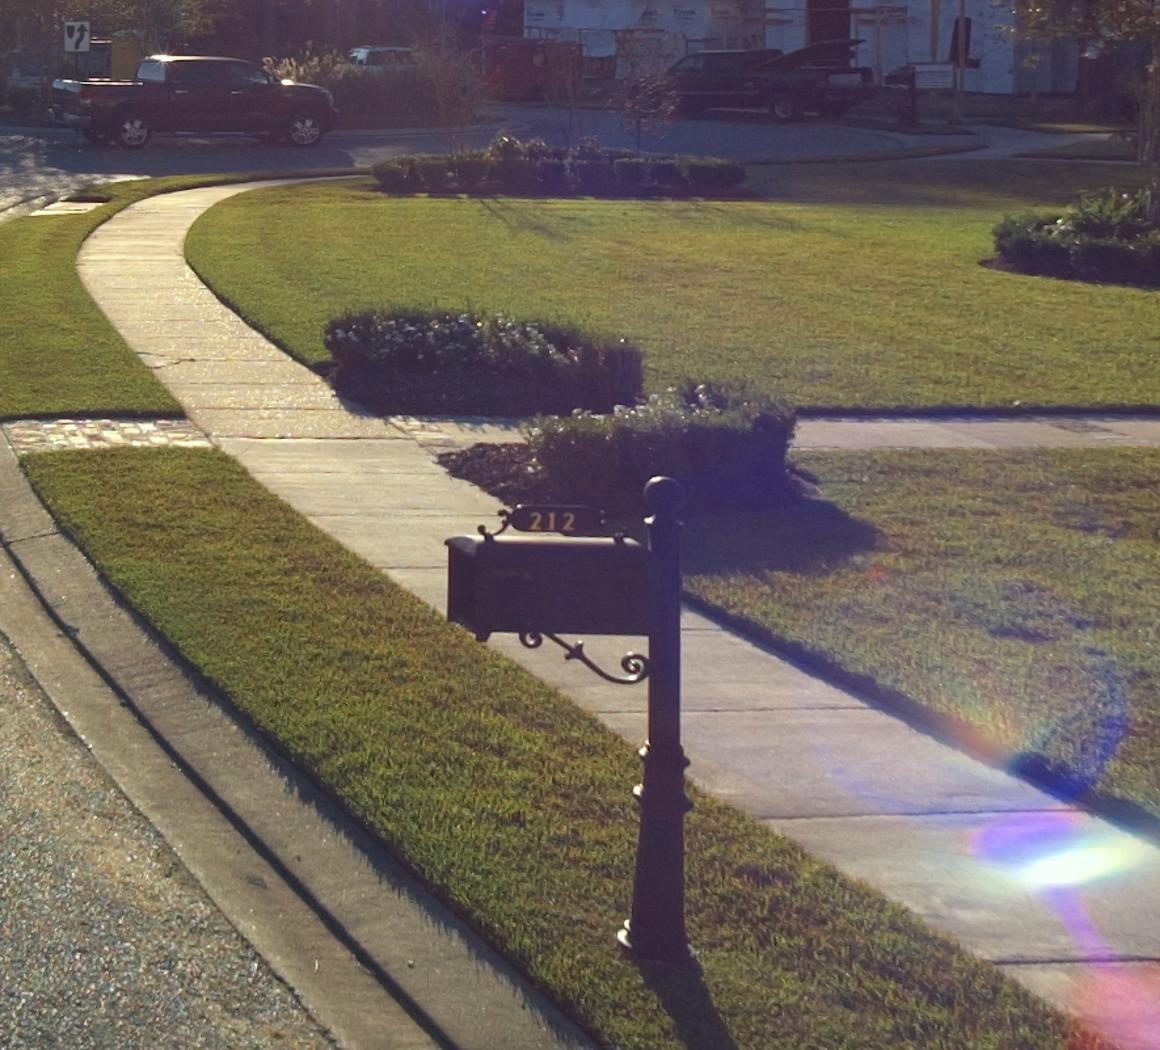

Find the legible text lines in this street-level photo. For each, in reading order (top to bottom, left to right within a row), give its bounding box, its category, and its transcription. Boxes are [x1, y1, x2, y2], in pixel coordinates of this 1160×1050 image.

[527, 511, 576, 531] StreetNumber: 212